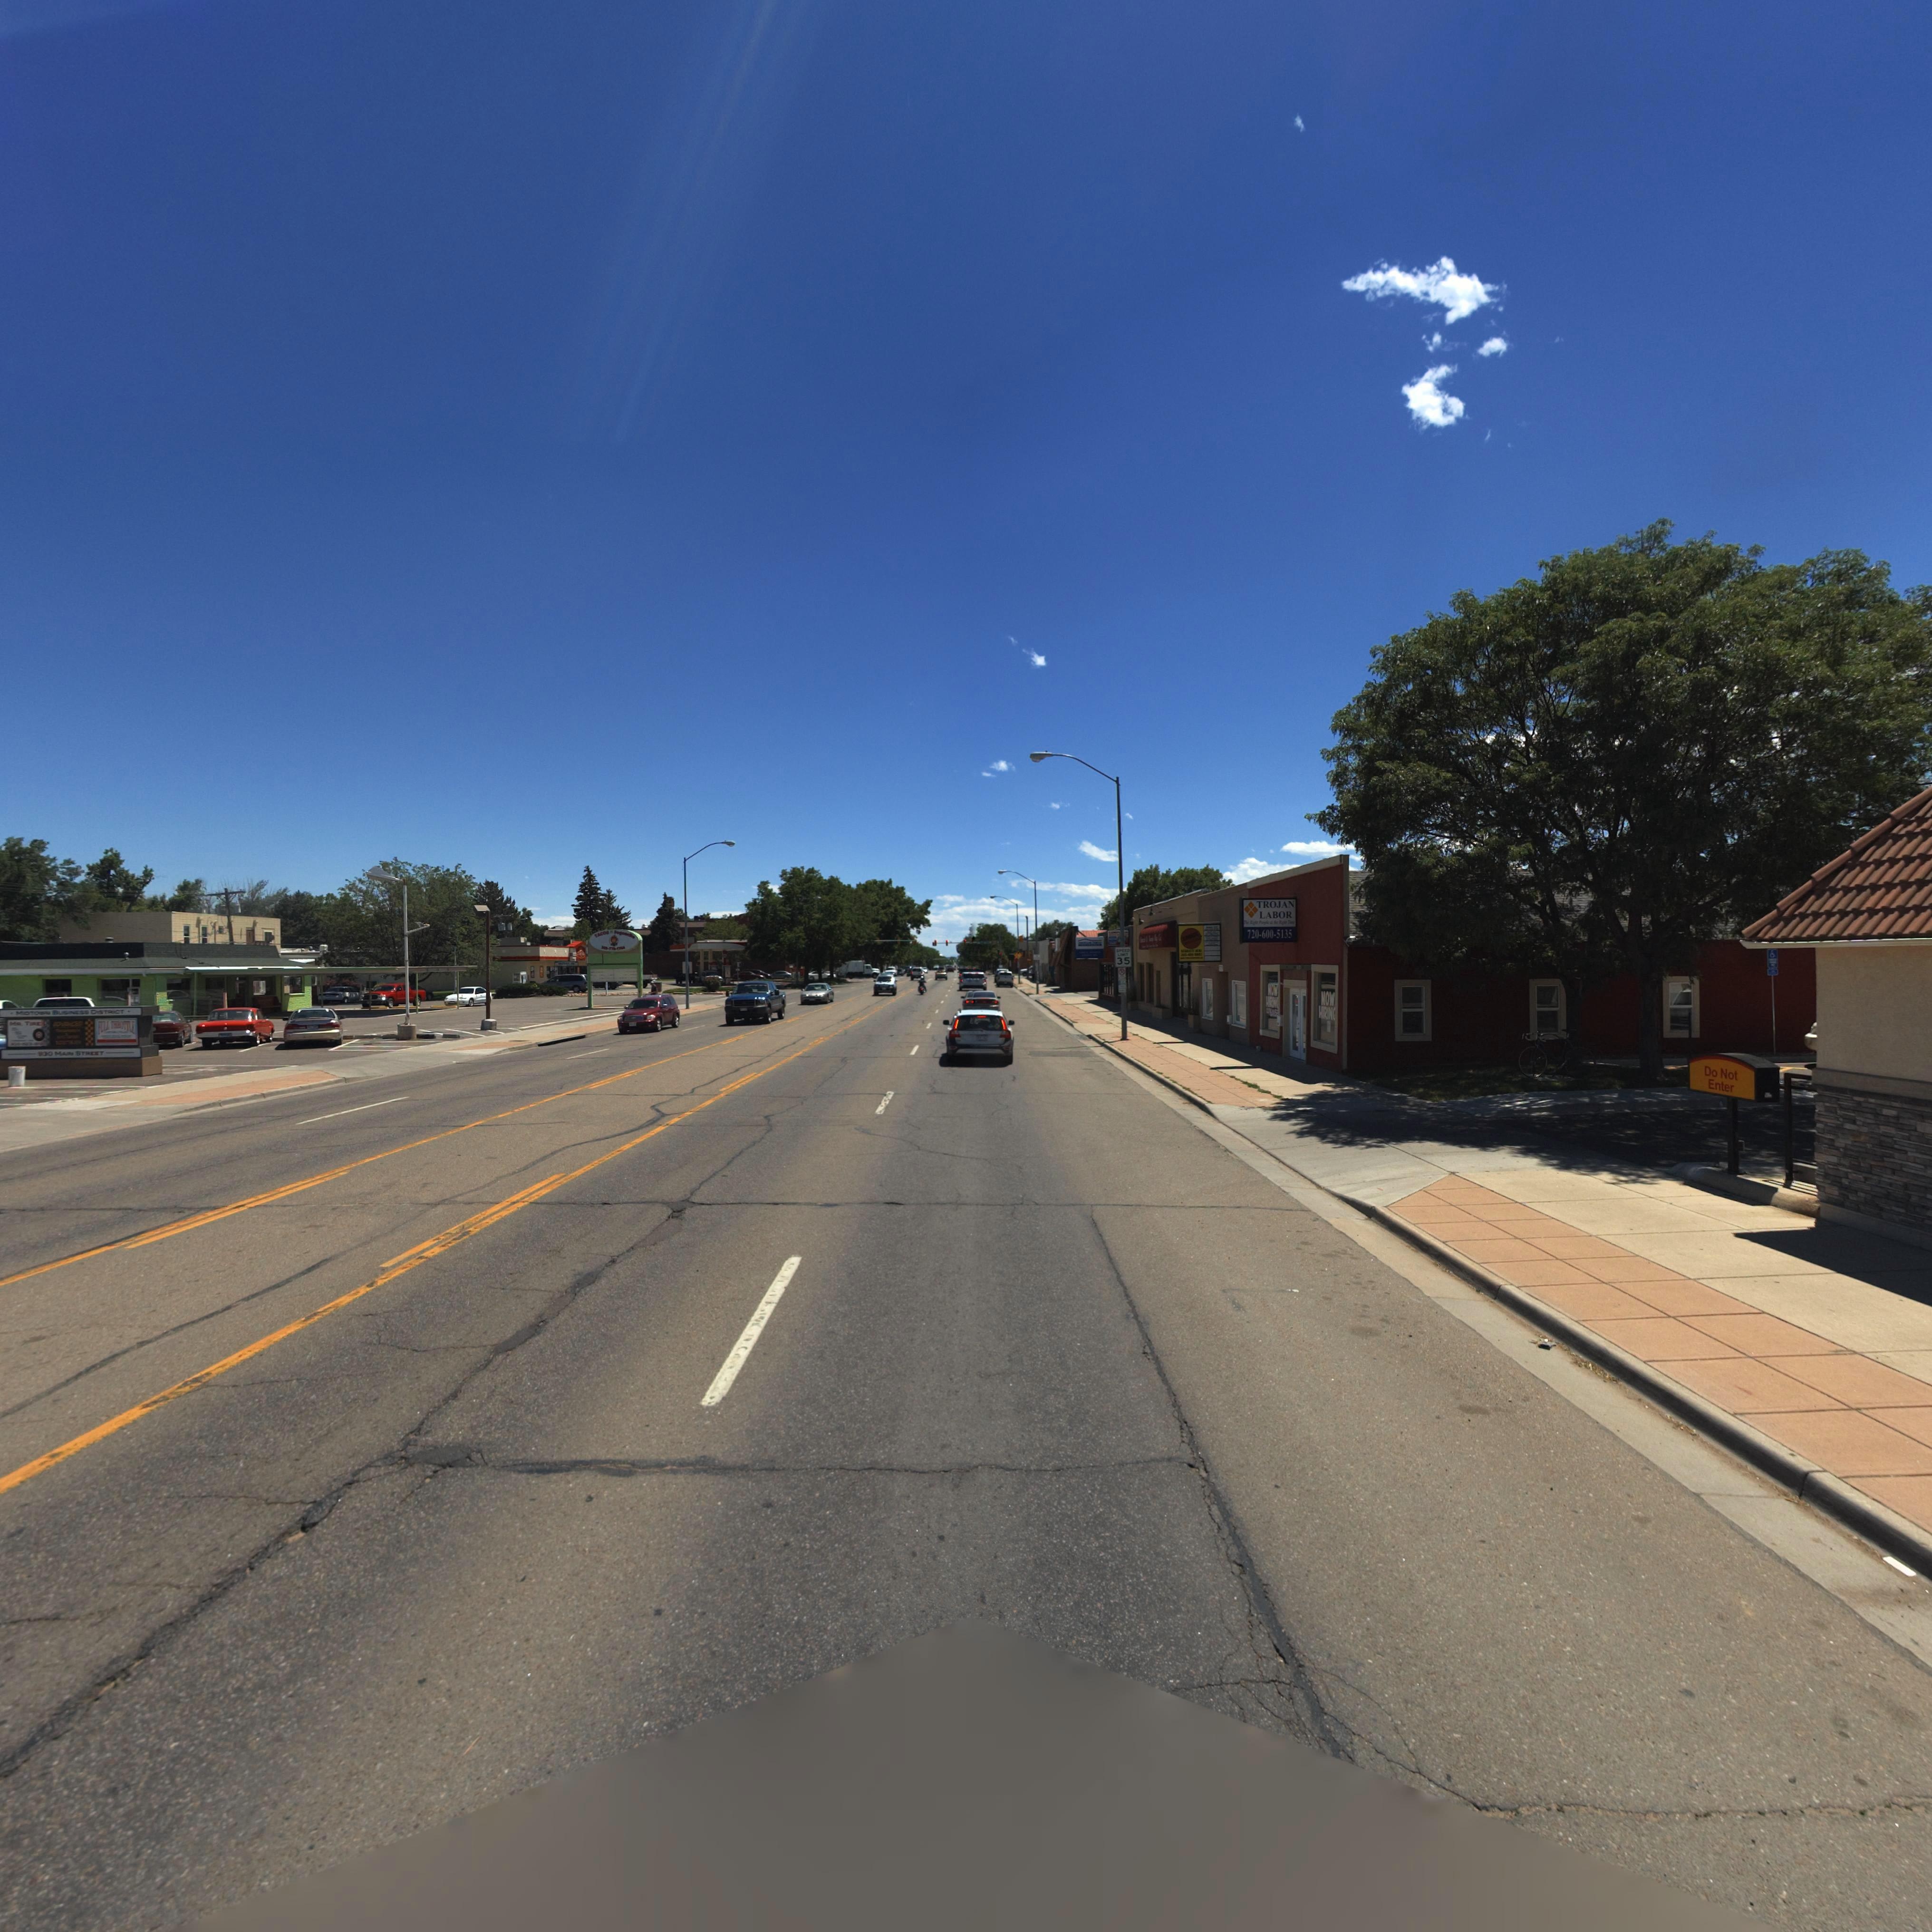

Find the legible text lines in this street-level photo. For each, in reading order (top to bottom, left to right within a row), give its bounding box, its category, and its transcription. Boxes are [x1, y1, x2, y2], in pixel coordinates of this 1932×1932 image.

[1256, 900, 1294, 908] BusinessName: TROJAN
[1259, 910, 1292, 918] BusinessName: LABOR
[593, 930, 635, 938] BusinessName: TACOS * Fogoncito
[1181, 931, 1198, 942] BusinessName: RADIUS
[38, 1051, 53, 1056] StreetNumber: 930
[54, 1051, 104, 1056] StreetName: MAIN STREET